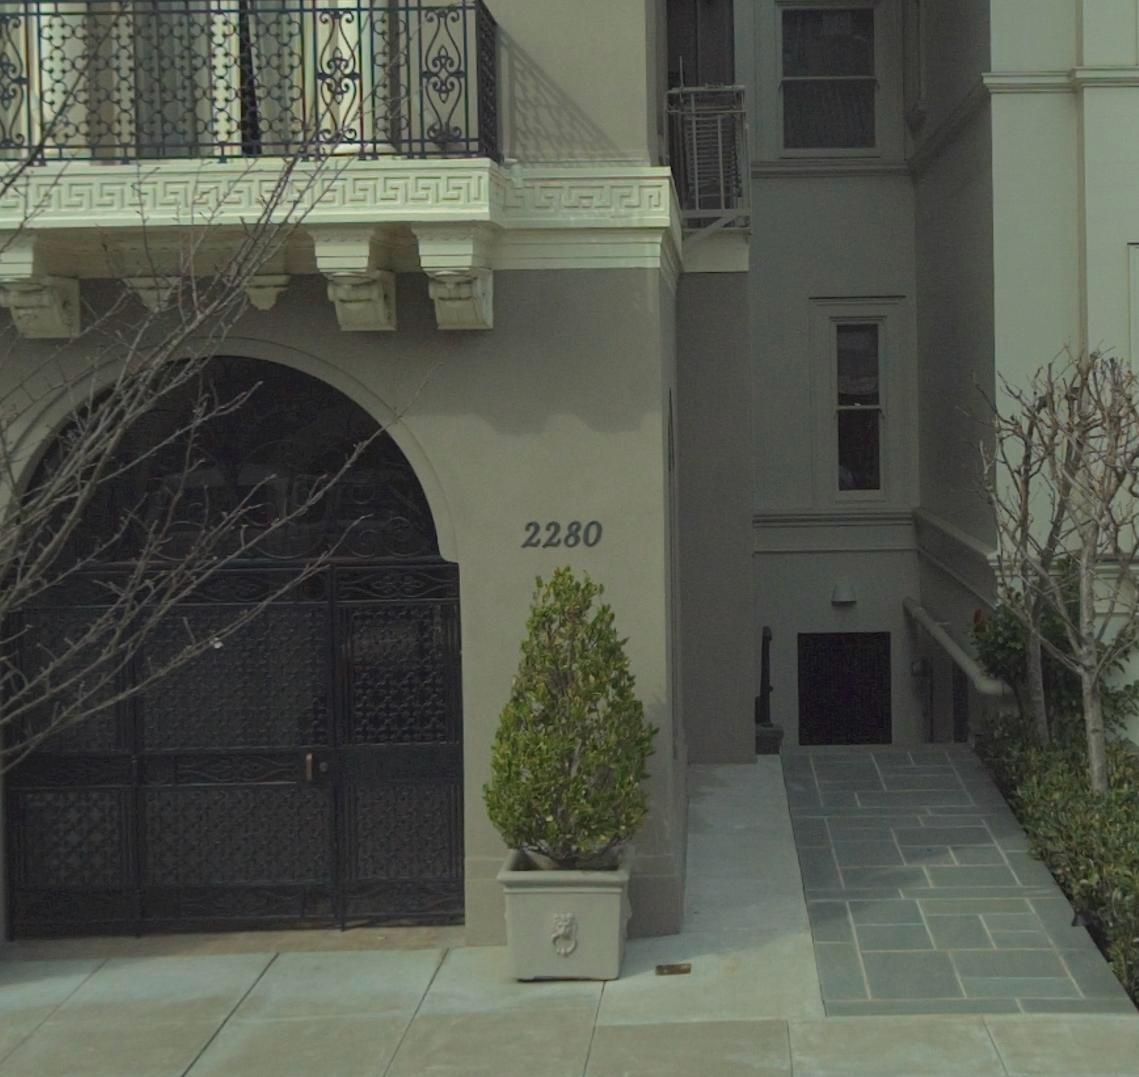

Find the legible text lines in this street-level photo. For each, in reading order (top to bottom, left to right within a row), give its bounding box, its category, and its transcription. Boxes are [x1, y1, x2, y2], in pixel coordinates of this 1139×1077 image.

[517, 517, 606, 553] StreetNumber: 2280